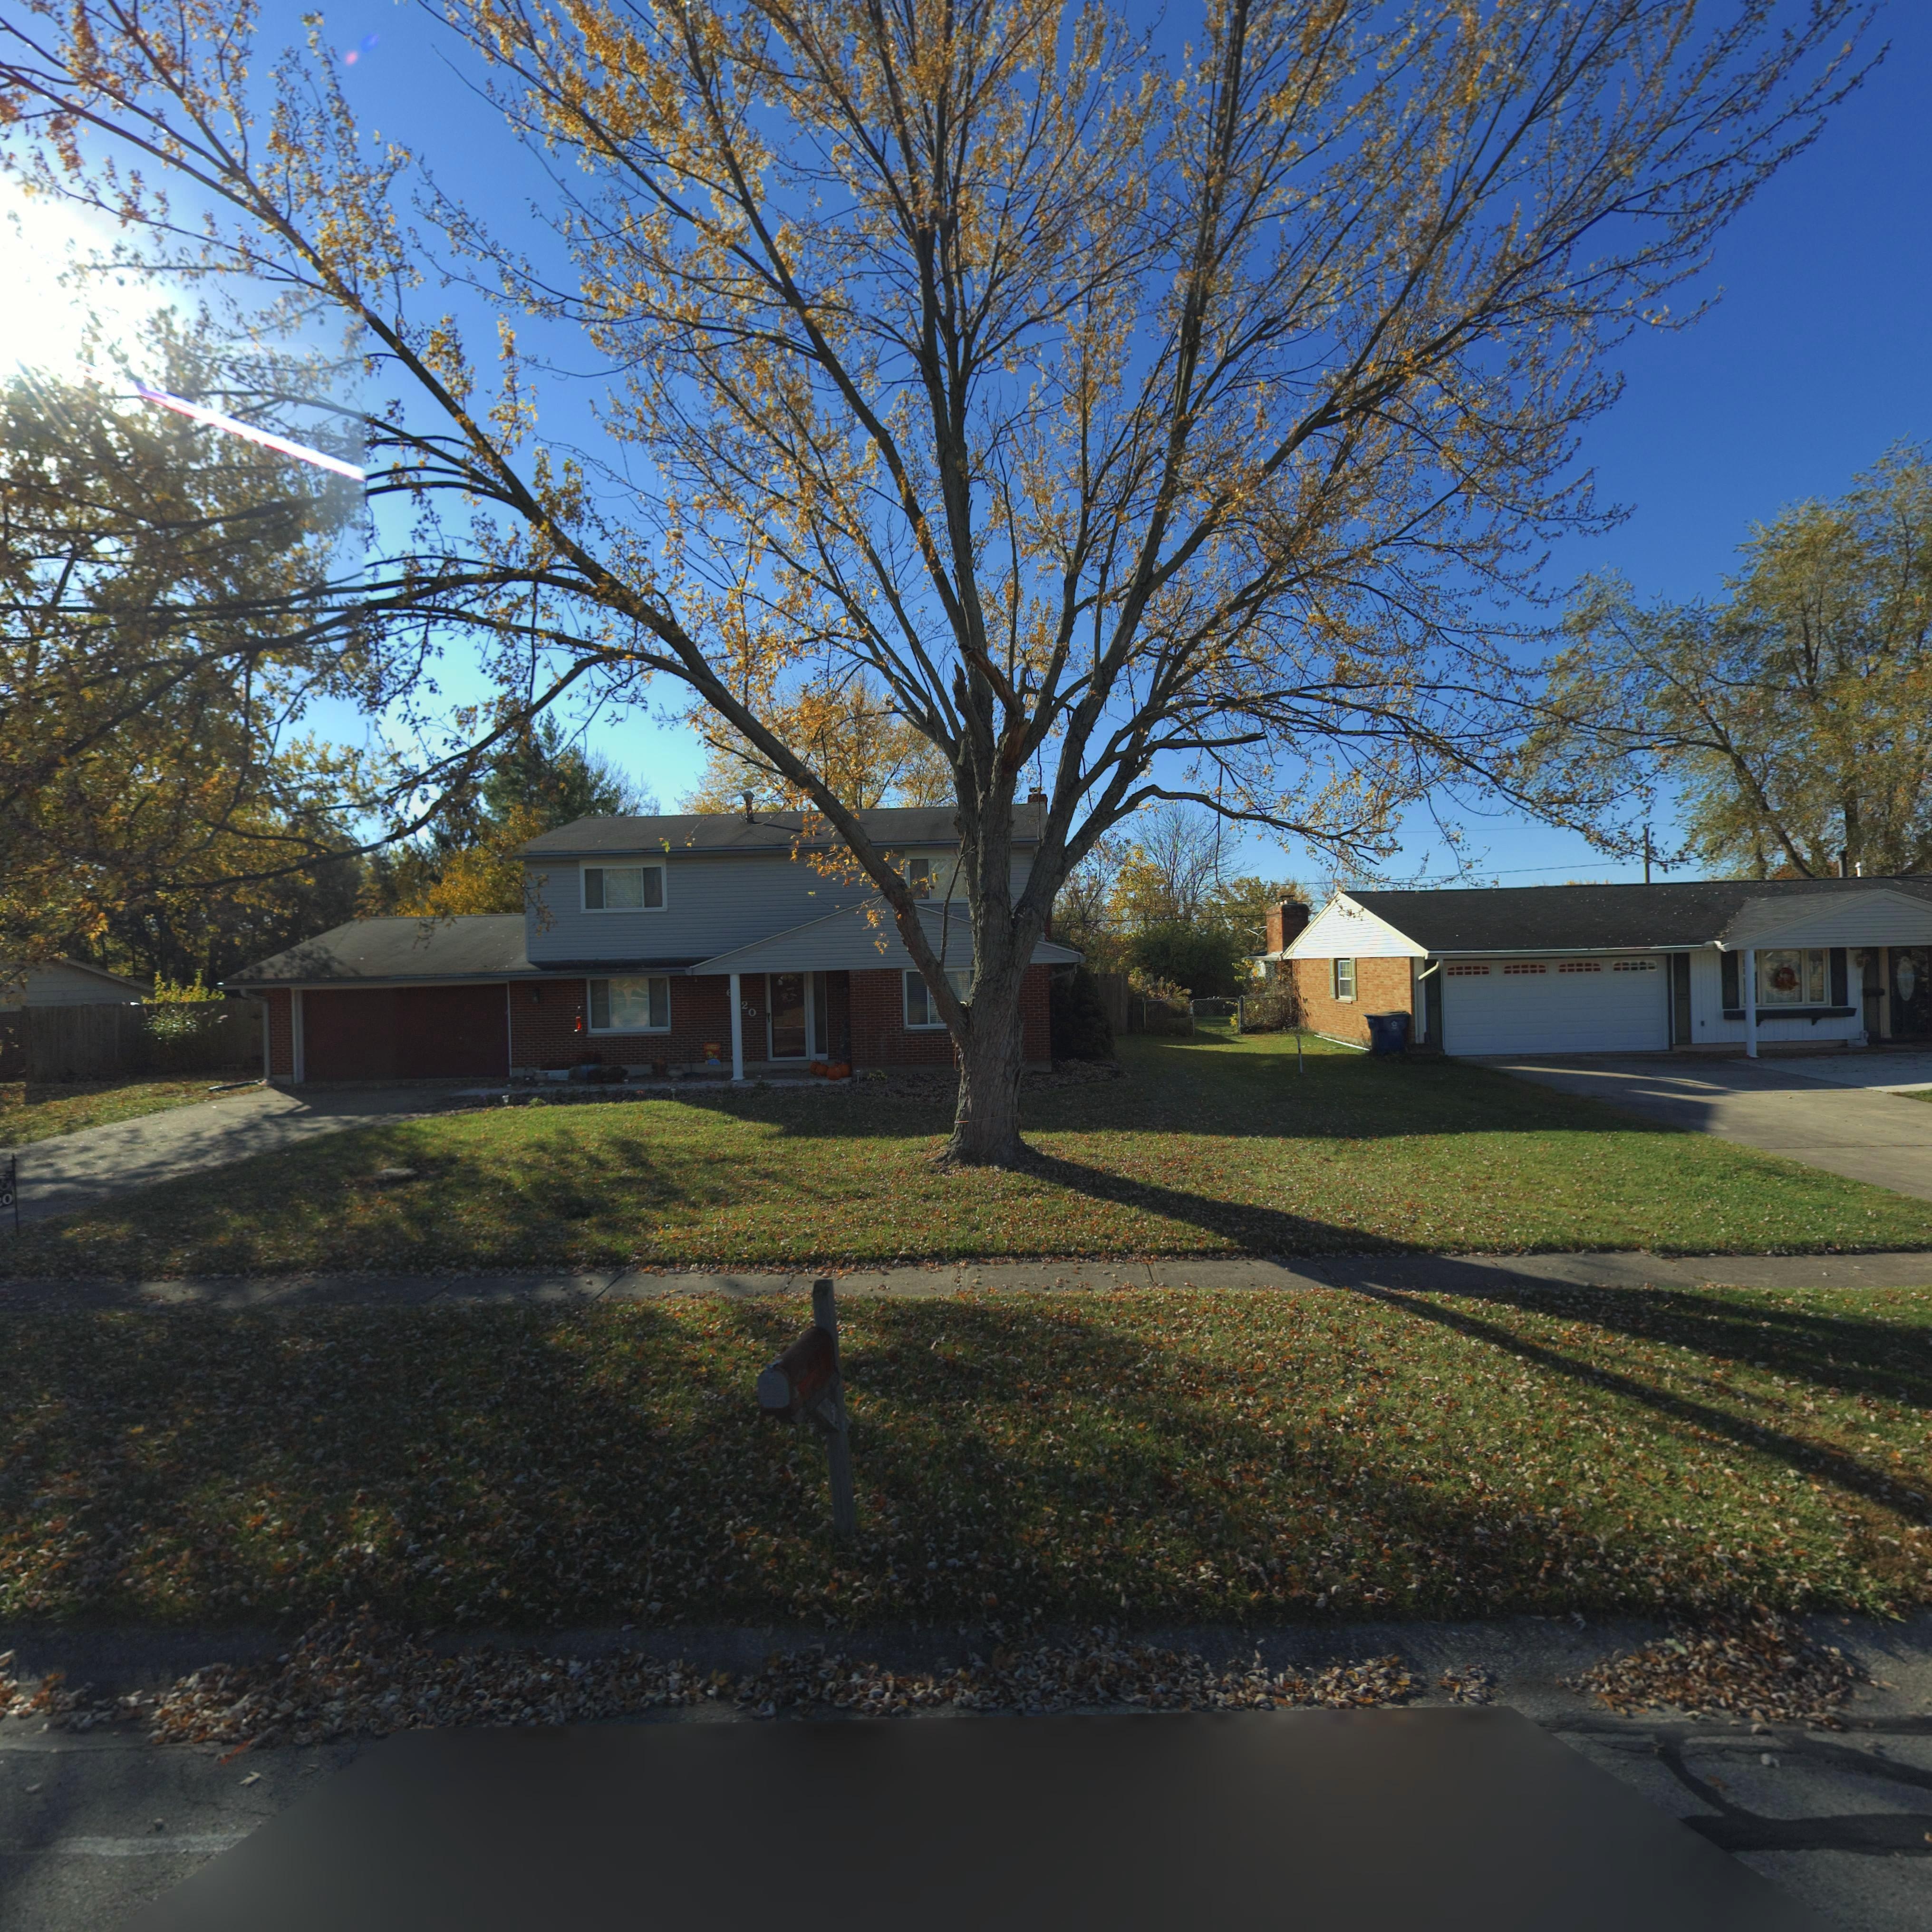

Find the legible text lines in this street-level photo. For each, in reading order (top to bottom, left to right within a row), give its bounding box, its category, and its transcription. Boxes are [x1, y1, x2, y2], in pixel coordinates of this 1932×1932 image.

[740, 1000, 758, 1018] StreetNumber: 20